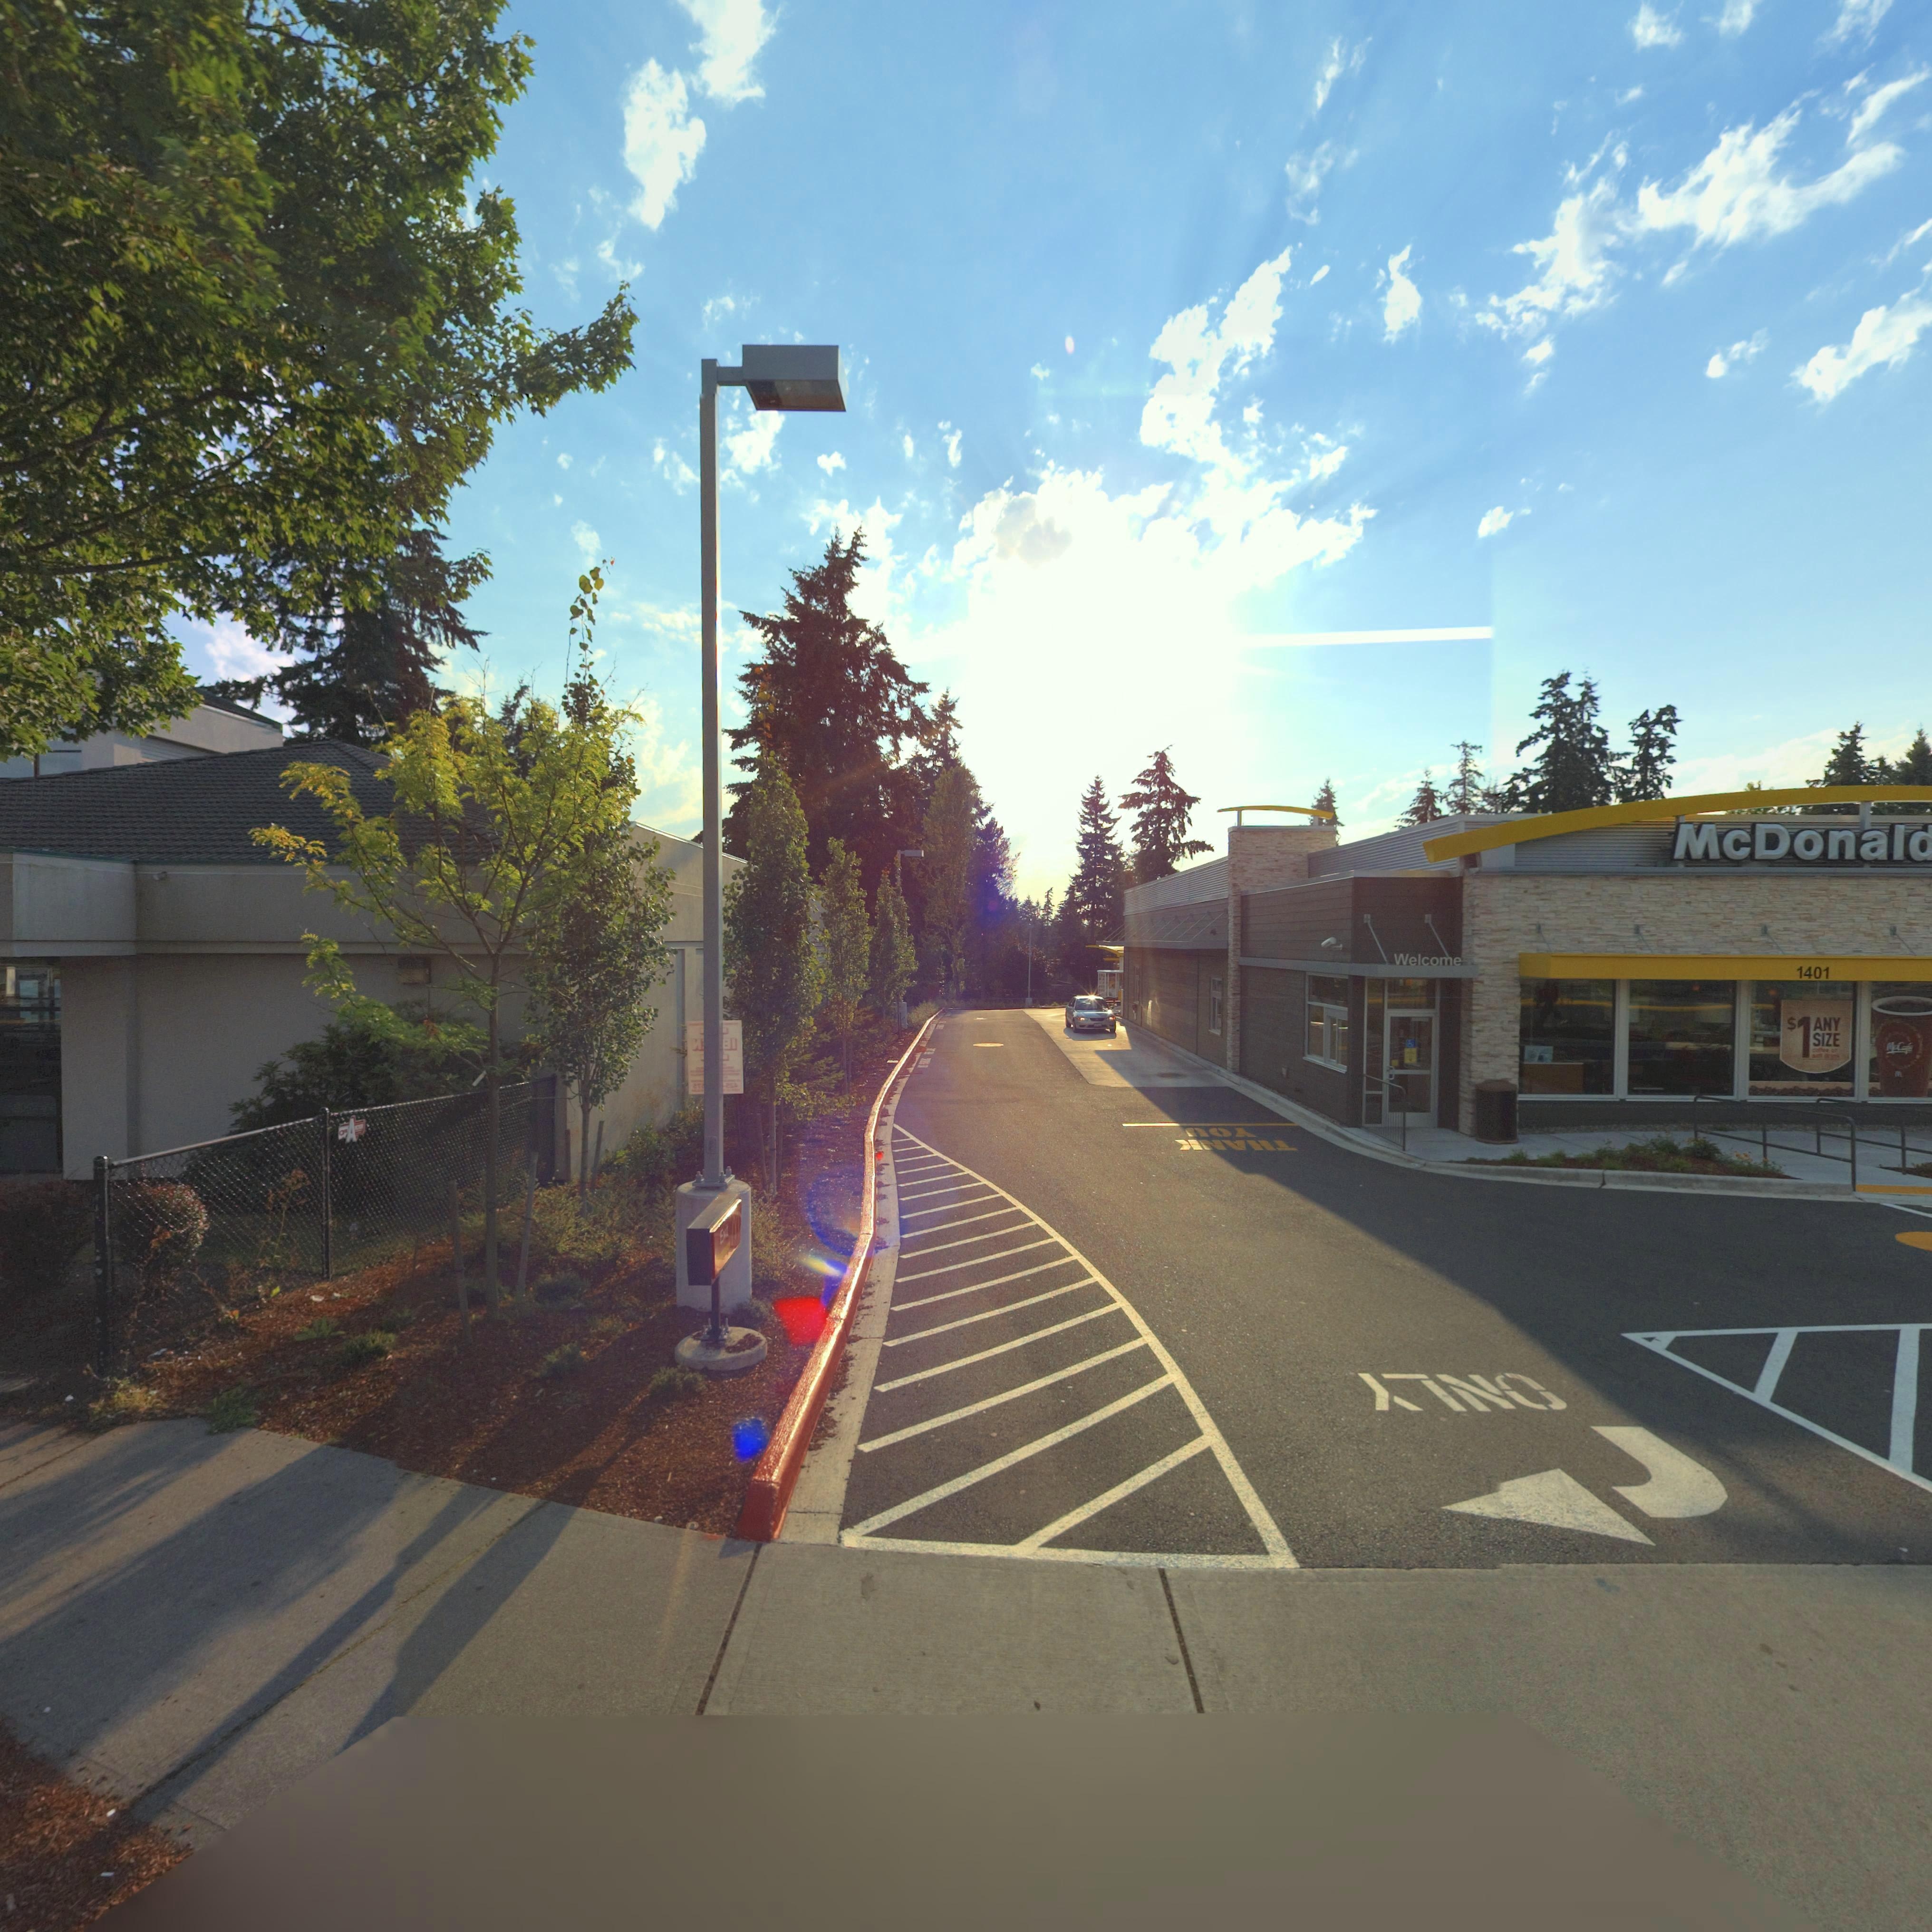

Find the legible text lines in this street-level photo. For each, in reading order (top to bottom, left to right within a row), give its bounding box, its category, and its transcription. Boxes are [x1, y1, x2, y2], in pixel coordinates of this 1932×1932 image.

[1669, 820, 1930, 862] BusinessName: McDonal*